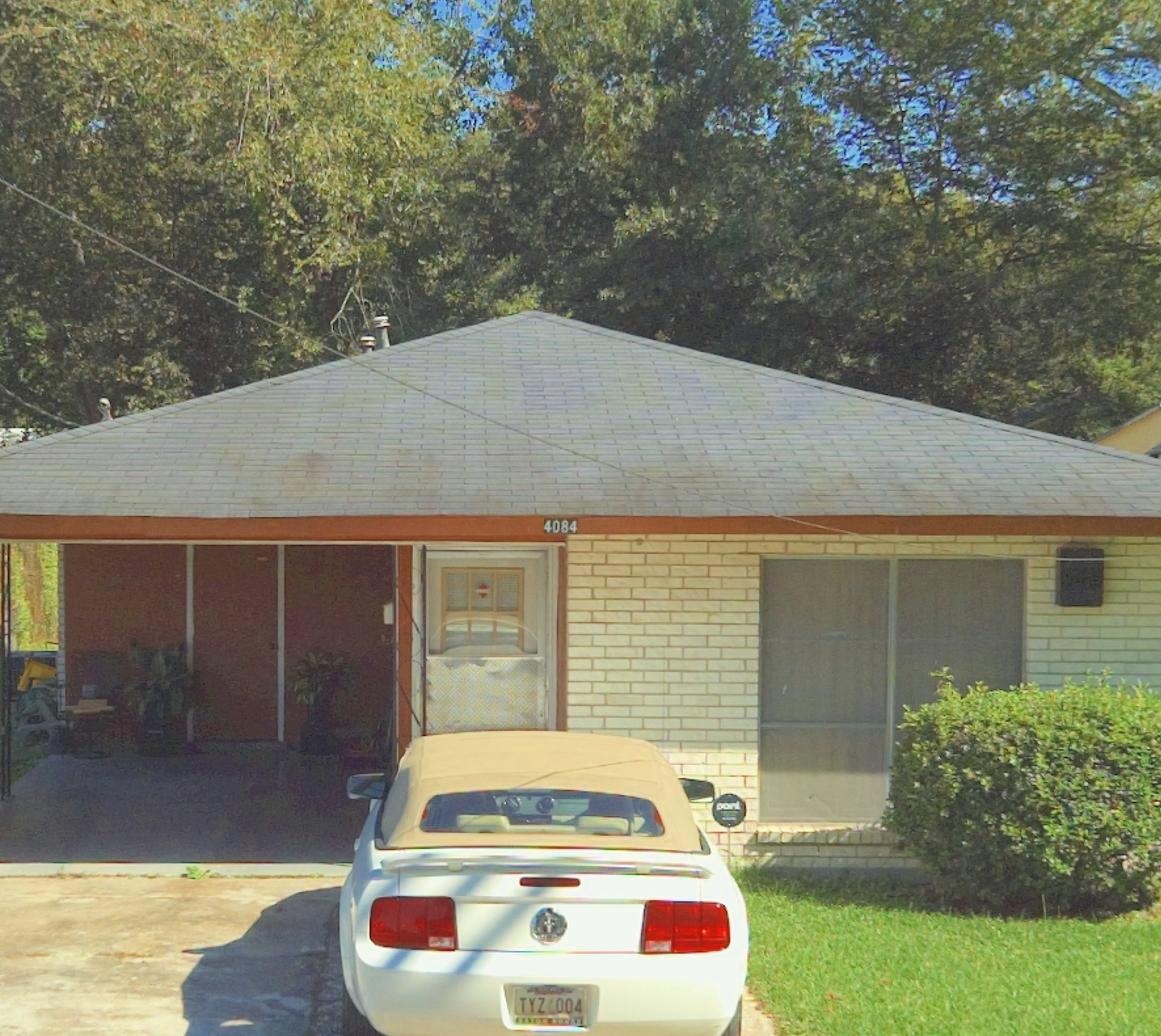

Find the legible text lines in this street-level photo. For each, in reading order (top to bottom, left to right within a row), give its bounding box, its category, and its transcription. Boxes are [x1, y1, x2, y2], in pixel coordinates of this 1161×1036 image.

[543, 519, 578, 534] StreetNumber: 4084
[518, 995, 584, 1016] None: TYZ*004